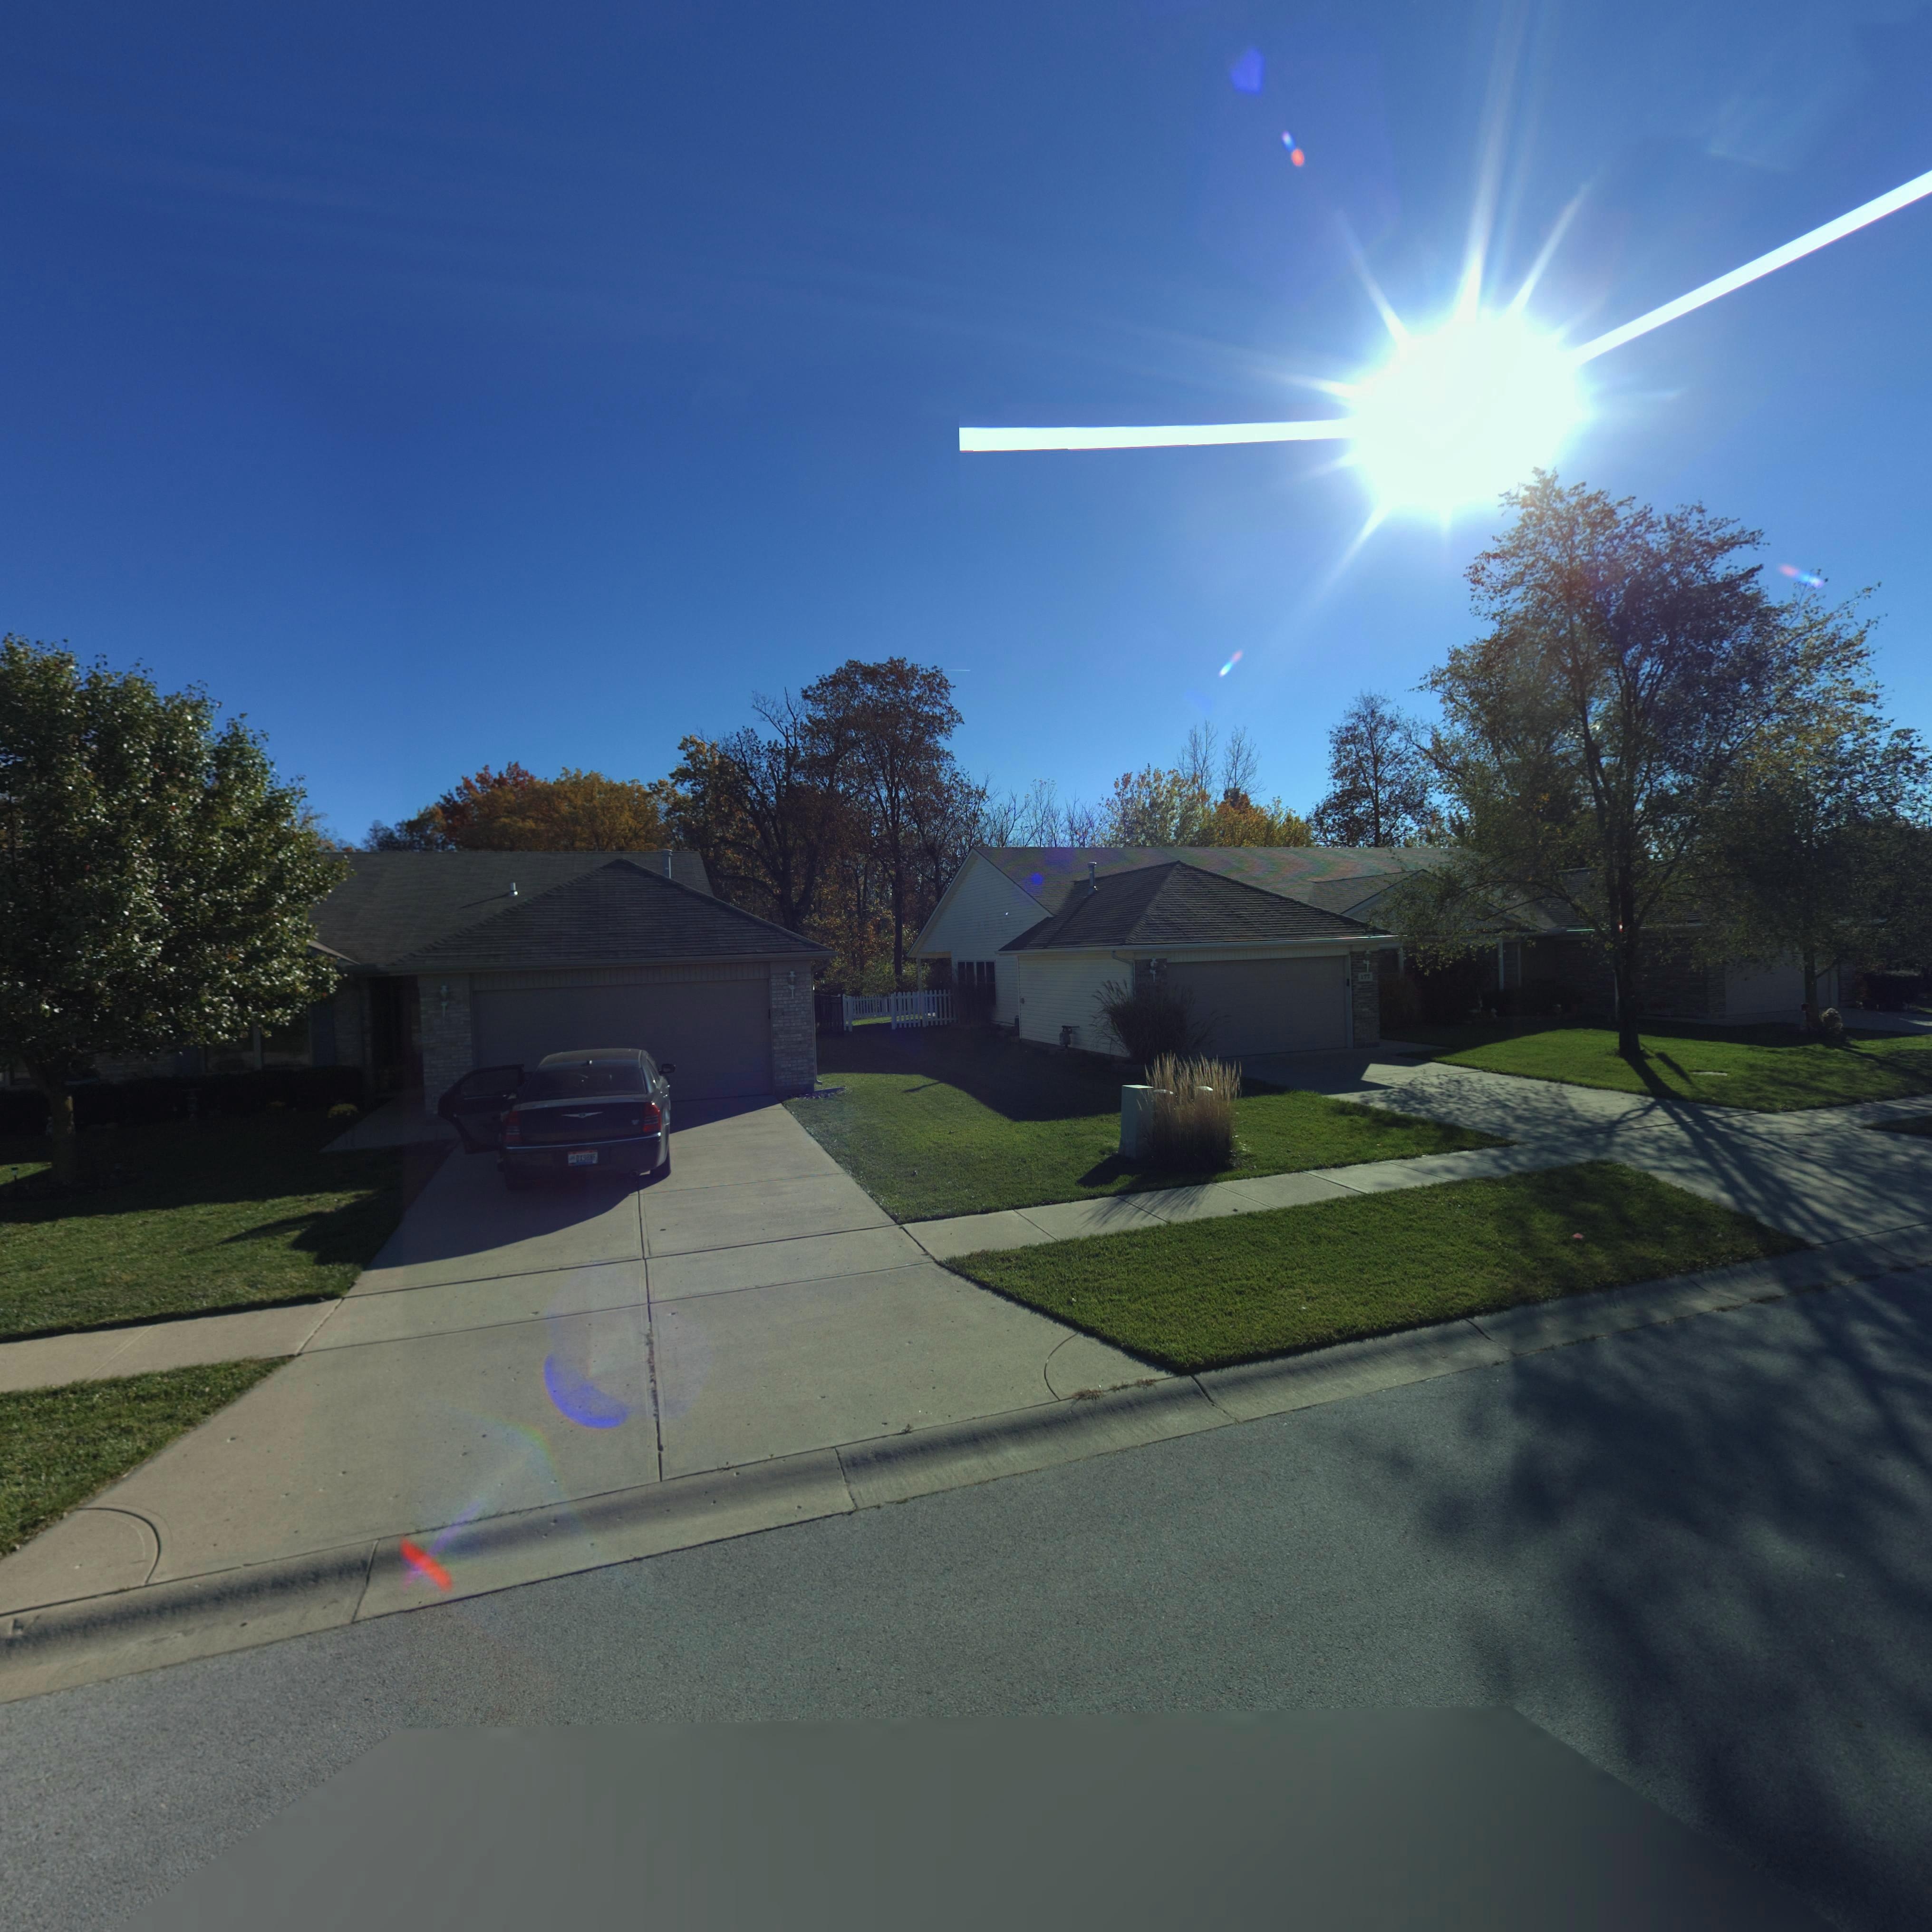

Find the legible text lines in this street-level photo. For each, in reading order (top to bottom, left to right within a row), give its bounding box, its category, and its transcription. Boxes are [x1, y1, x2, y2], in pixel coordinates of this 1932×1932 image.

[1360, 973, 1371, 980] StreetNumber: 177